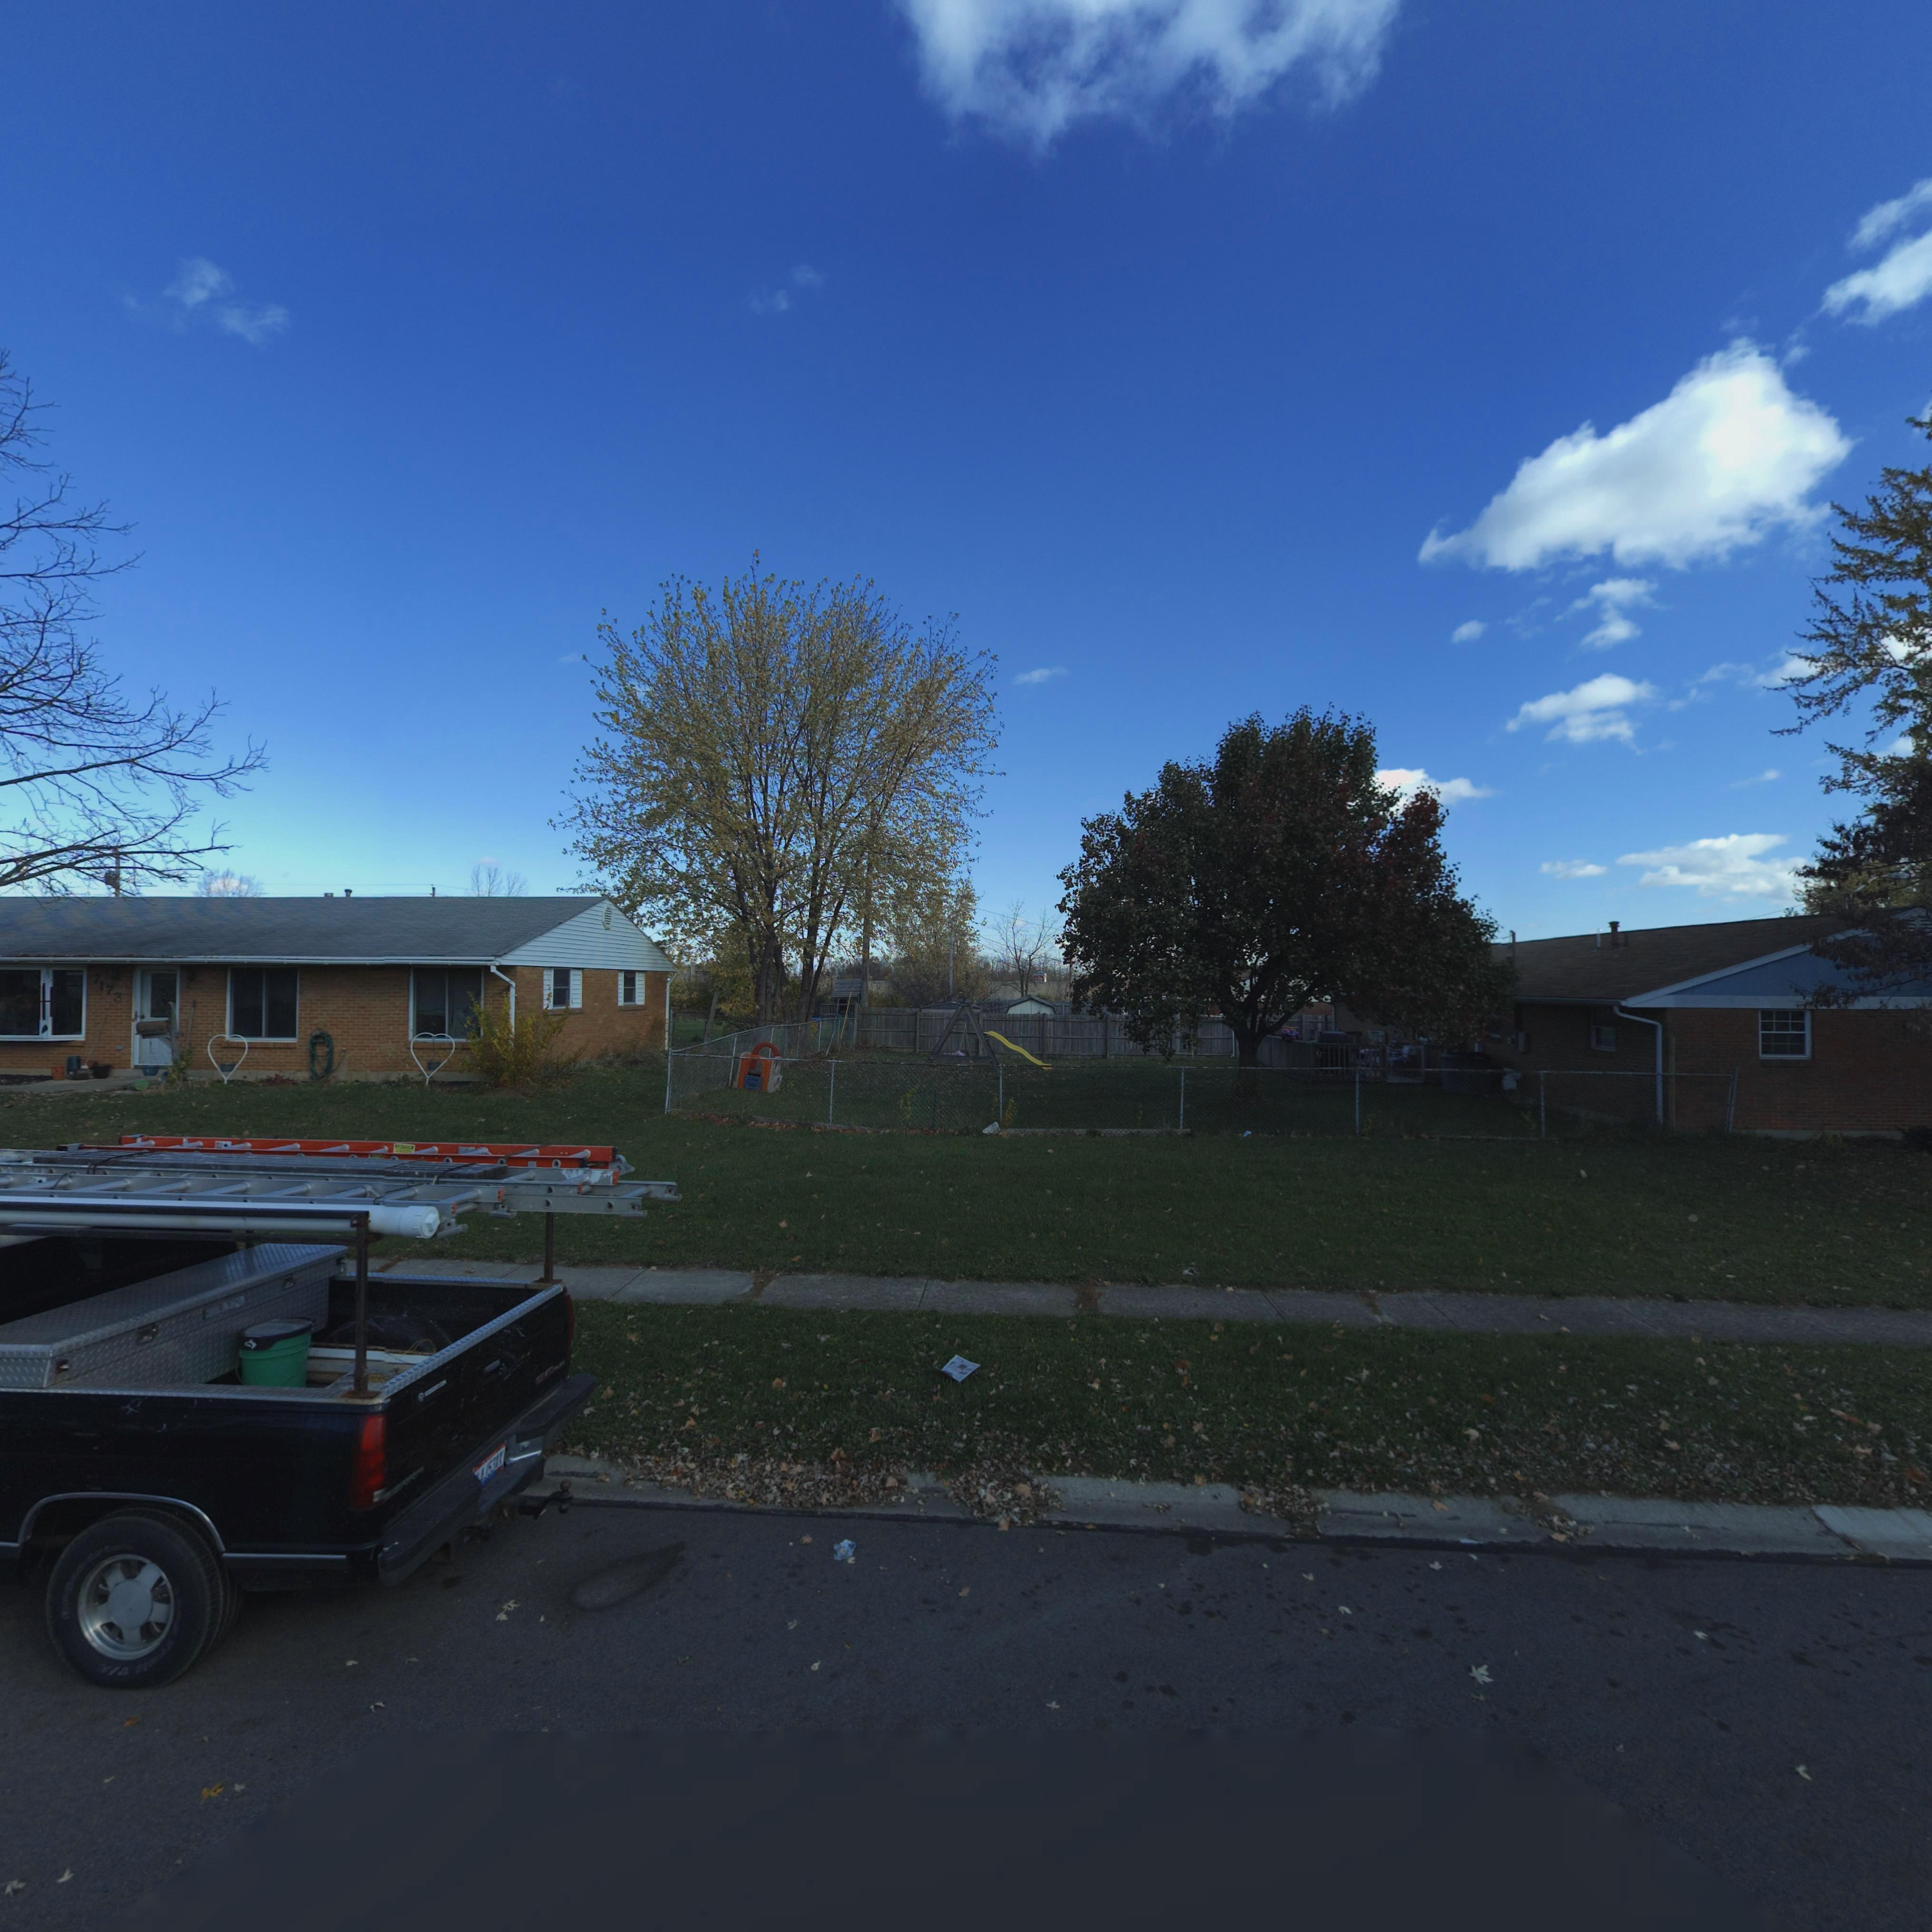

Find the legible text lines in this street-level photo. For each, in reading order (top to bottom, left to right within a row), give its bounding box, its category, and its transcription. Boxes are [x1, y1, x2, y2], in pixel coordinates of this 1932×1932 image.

[92, 973, 123, 1004] StreetNumber: 7173